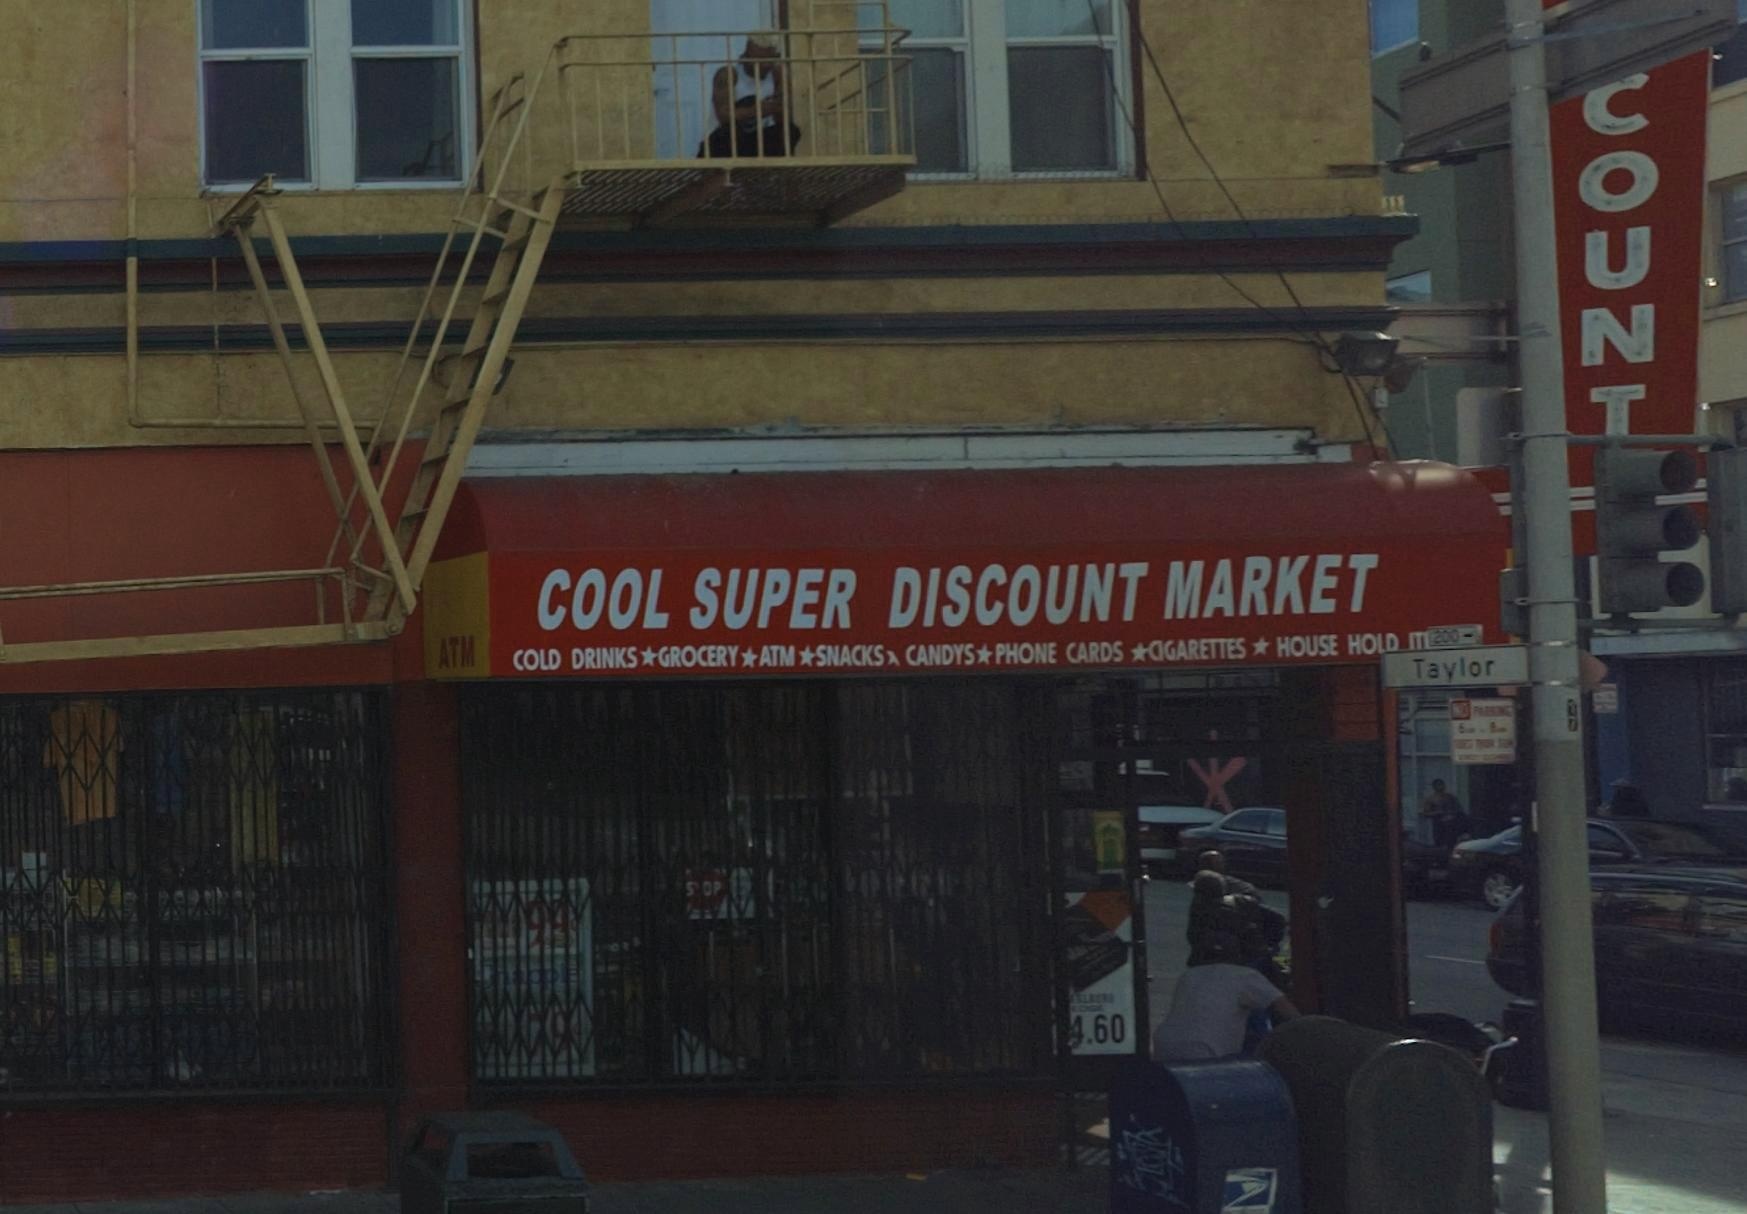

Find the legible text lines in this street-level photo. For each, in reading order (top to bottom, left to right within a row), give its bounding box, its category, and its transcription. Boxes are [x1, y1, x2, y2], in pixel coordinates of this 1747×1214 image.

[1571, 142, 1666, 439] BusinessName: OUNT
[532, 550, 1382, 637] BusinessName: COOL SUPER DISCOUNT MARKET
[432, 630, 478, 674] None: ATM
[505, 629, 1406, 677] None: COLD DRINKS * GROCERY * ATM * SNACKS * CANDYS * PHONE CARDS * CIGARETTES * HOUSE HOL*
[1426, 626, 1480, 648] StreetNumberRange: 200->
[1408, 656, 1500, 687] StreetName: Taylor
[1455, 717, 1470, 739] None: 6
[1485, 717, 1501, 737] None: 8
[1563, 698, 1581, 734] None: 17
[1090, 1009, 1129, 1048] None: 60